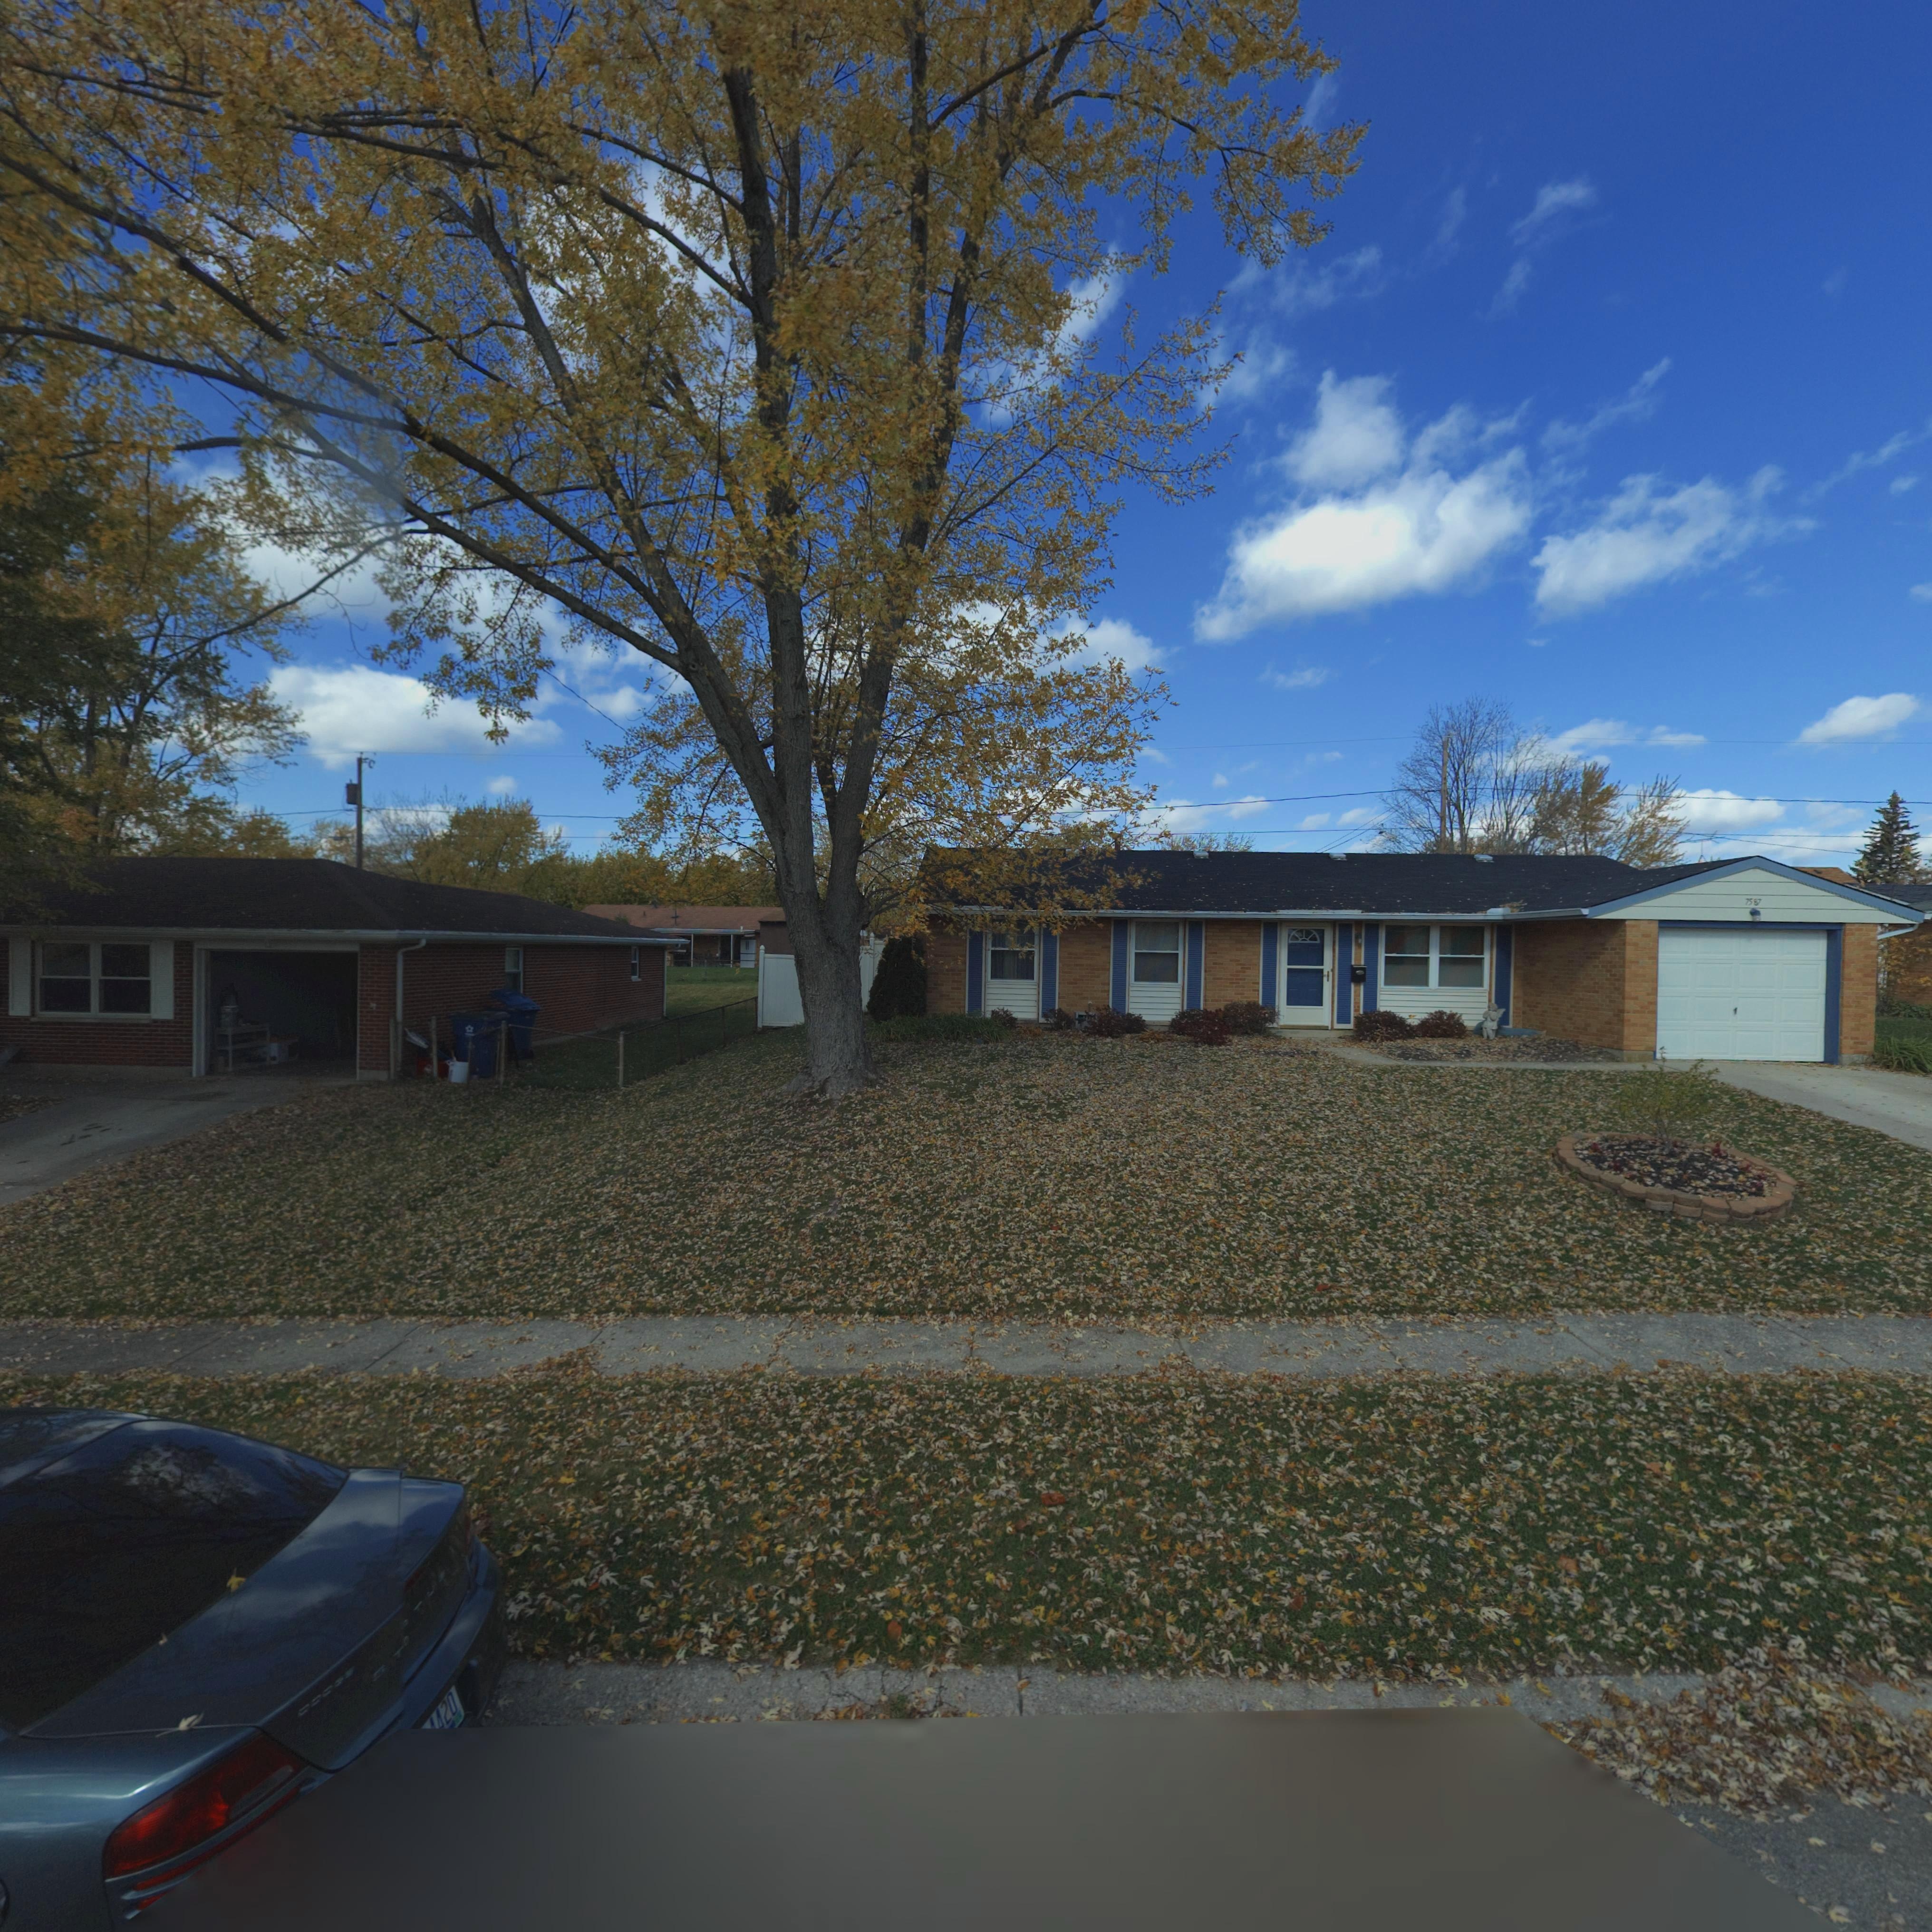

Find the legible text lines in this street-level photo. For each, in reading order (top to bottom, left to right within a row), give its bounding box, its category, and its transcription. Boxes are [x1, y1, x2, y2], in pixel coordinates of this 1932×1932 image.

[1745, 898, 1762, 906] StreetNumber: 7587